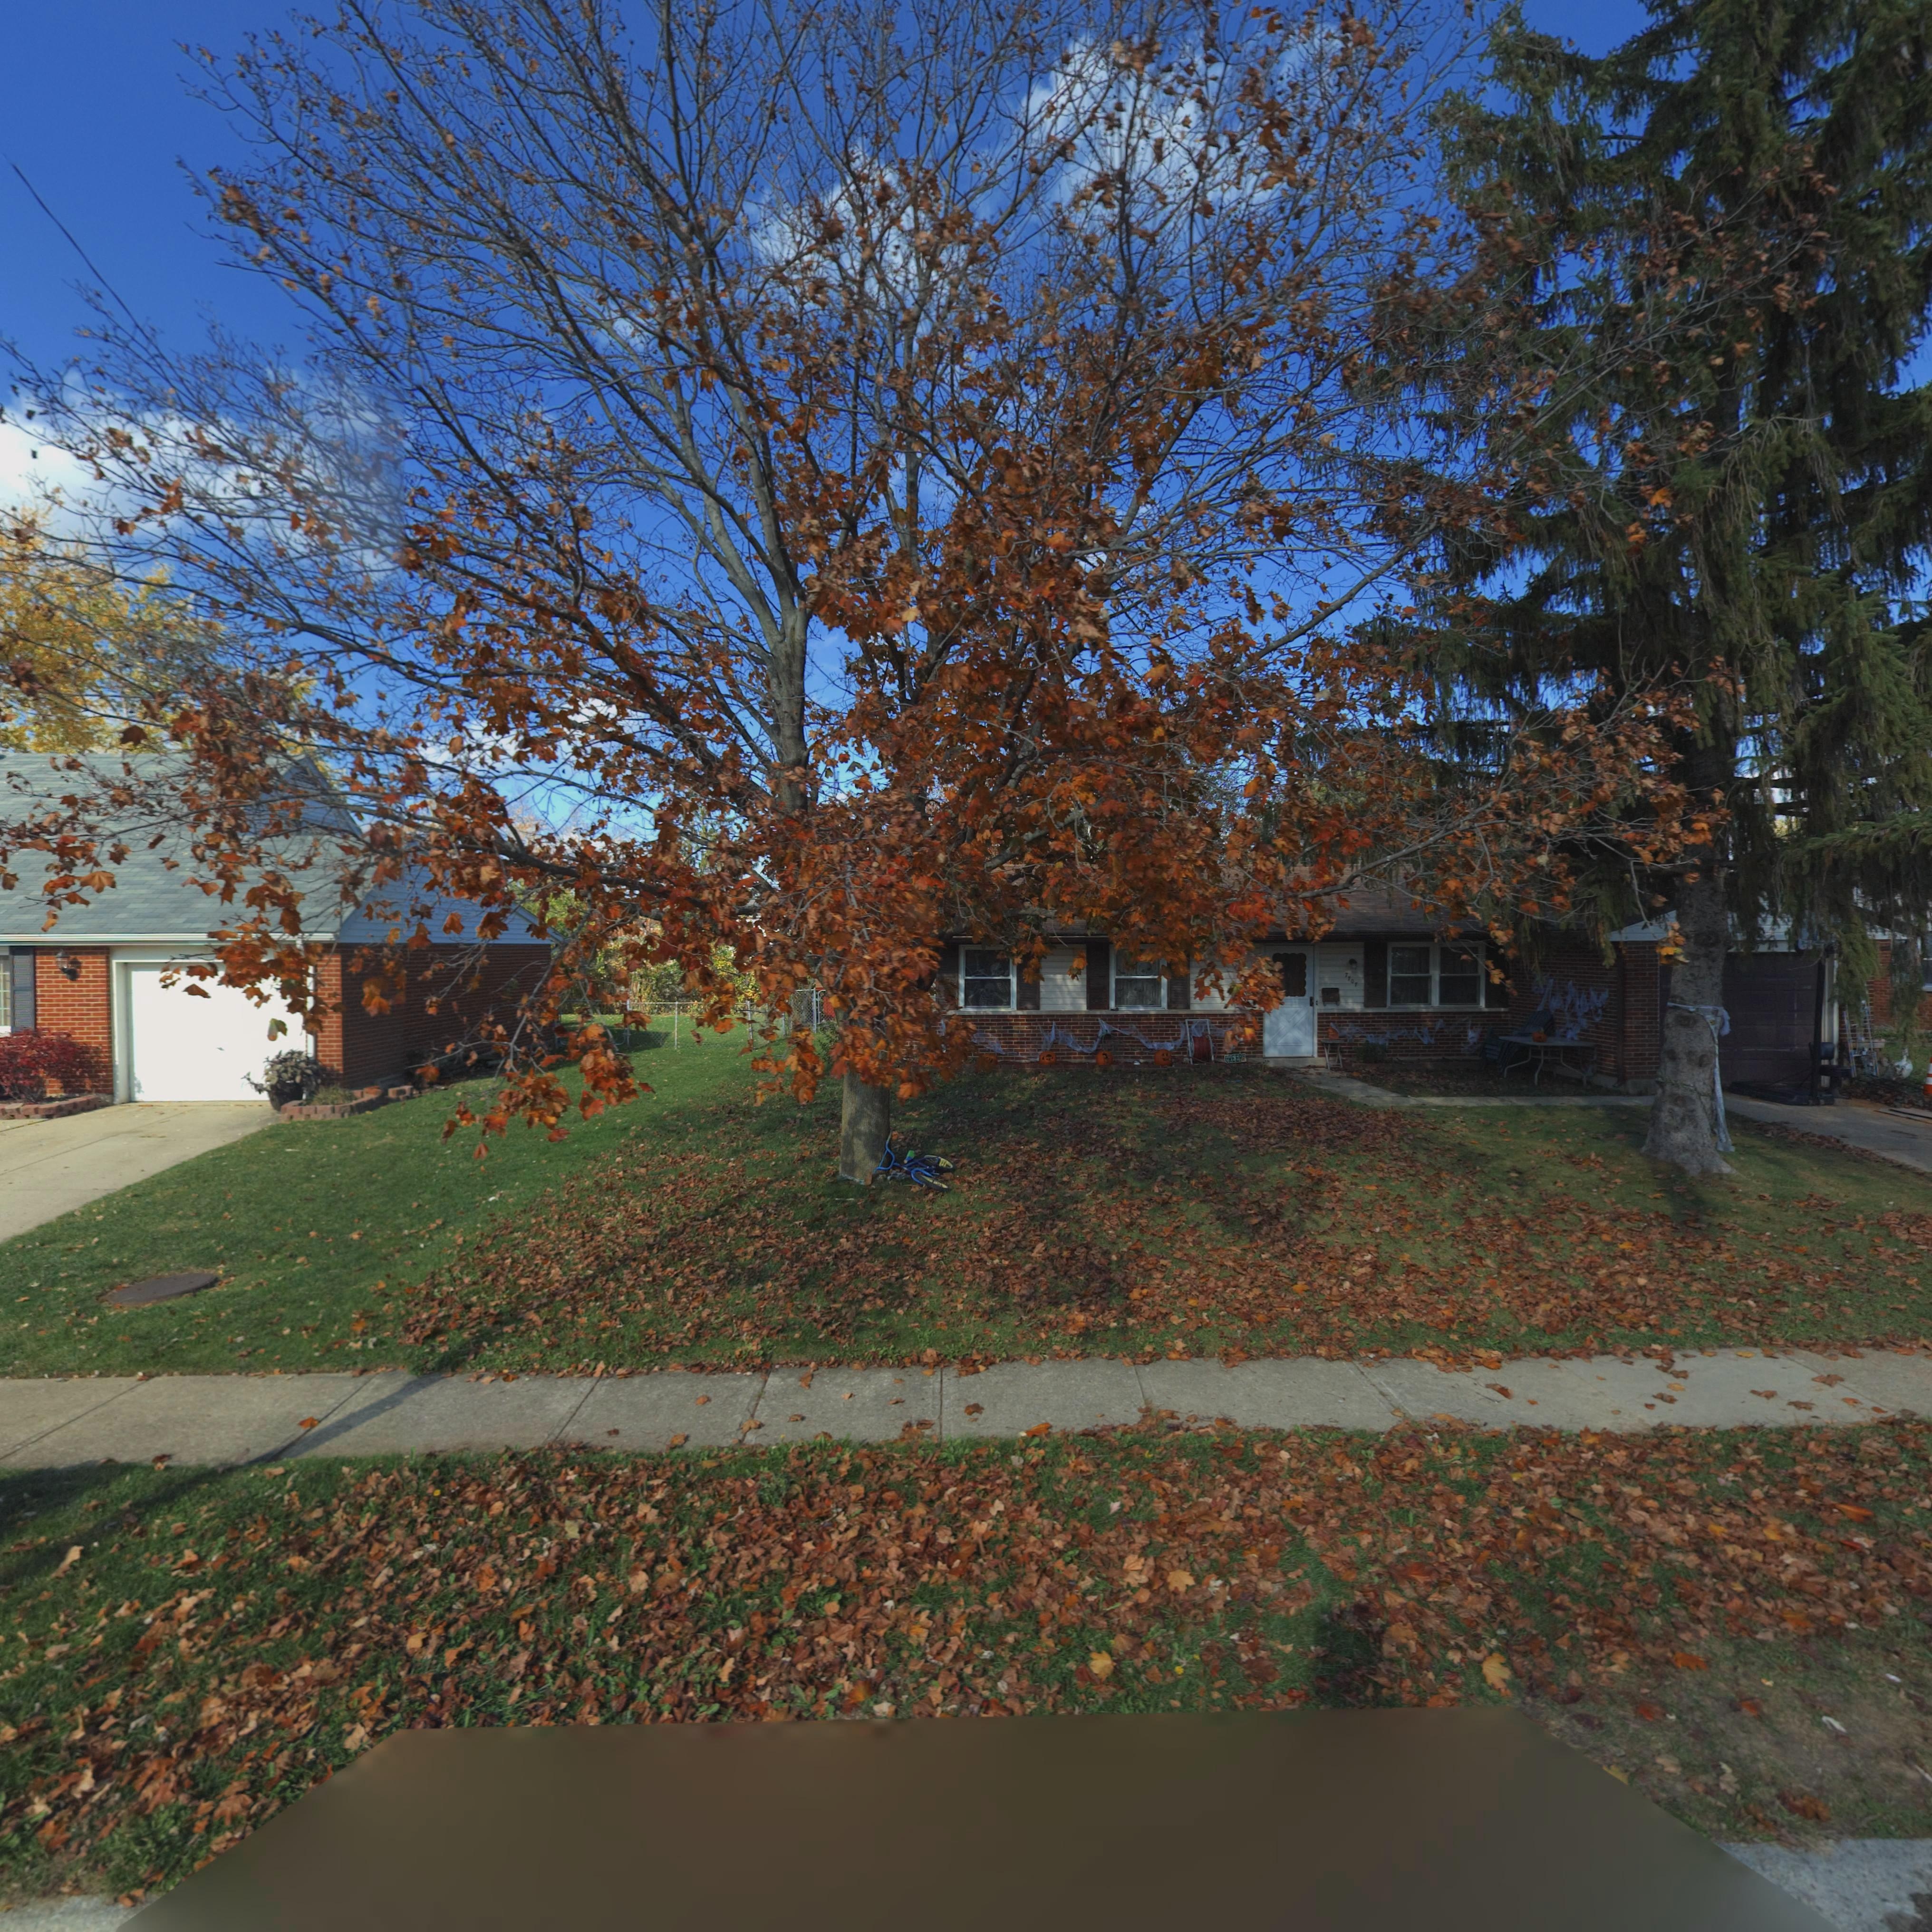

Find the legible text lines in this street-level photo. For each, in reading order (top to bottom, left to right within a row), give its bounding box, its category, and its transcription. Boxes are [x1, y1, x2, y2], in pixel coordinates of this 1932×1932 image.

[1344, 972, 1358, 987] StreetNumber: 7707